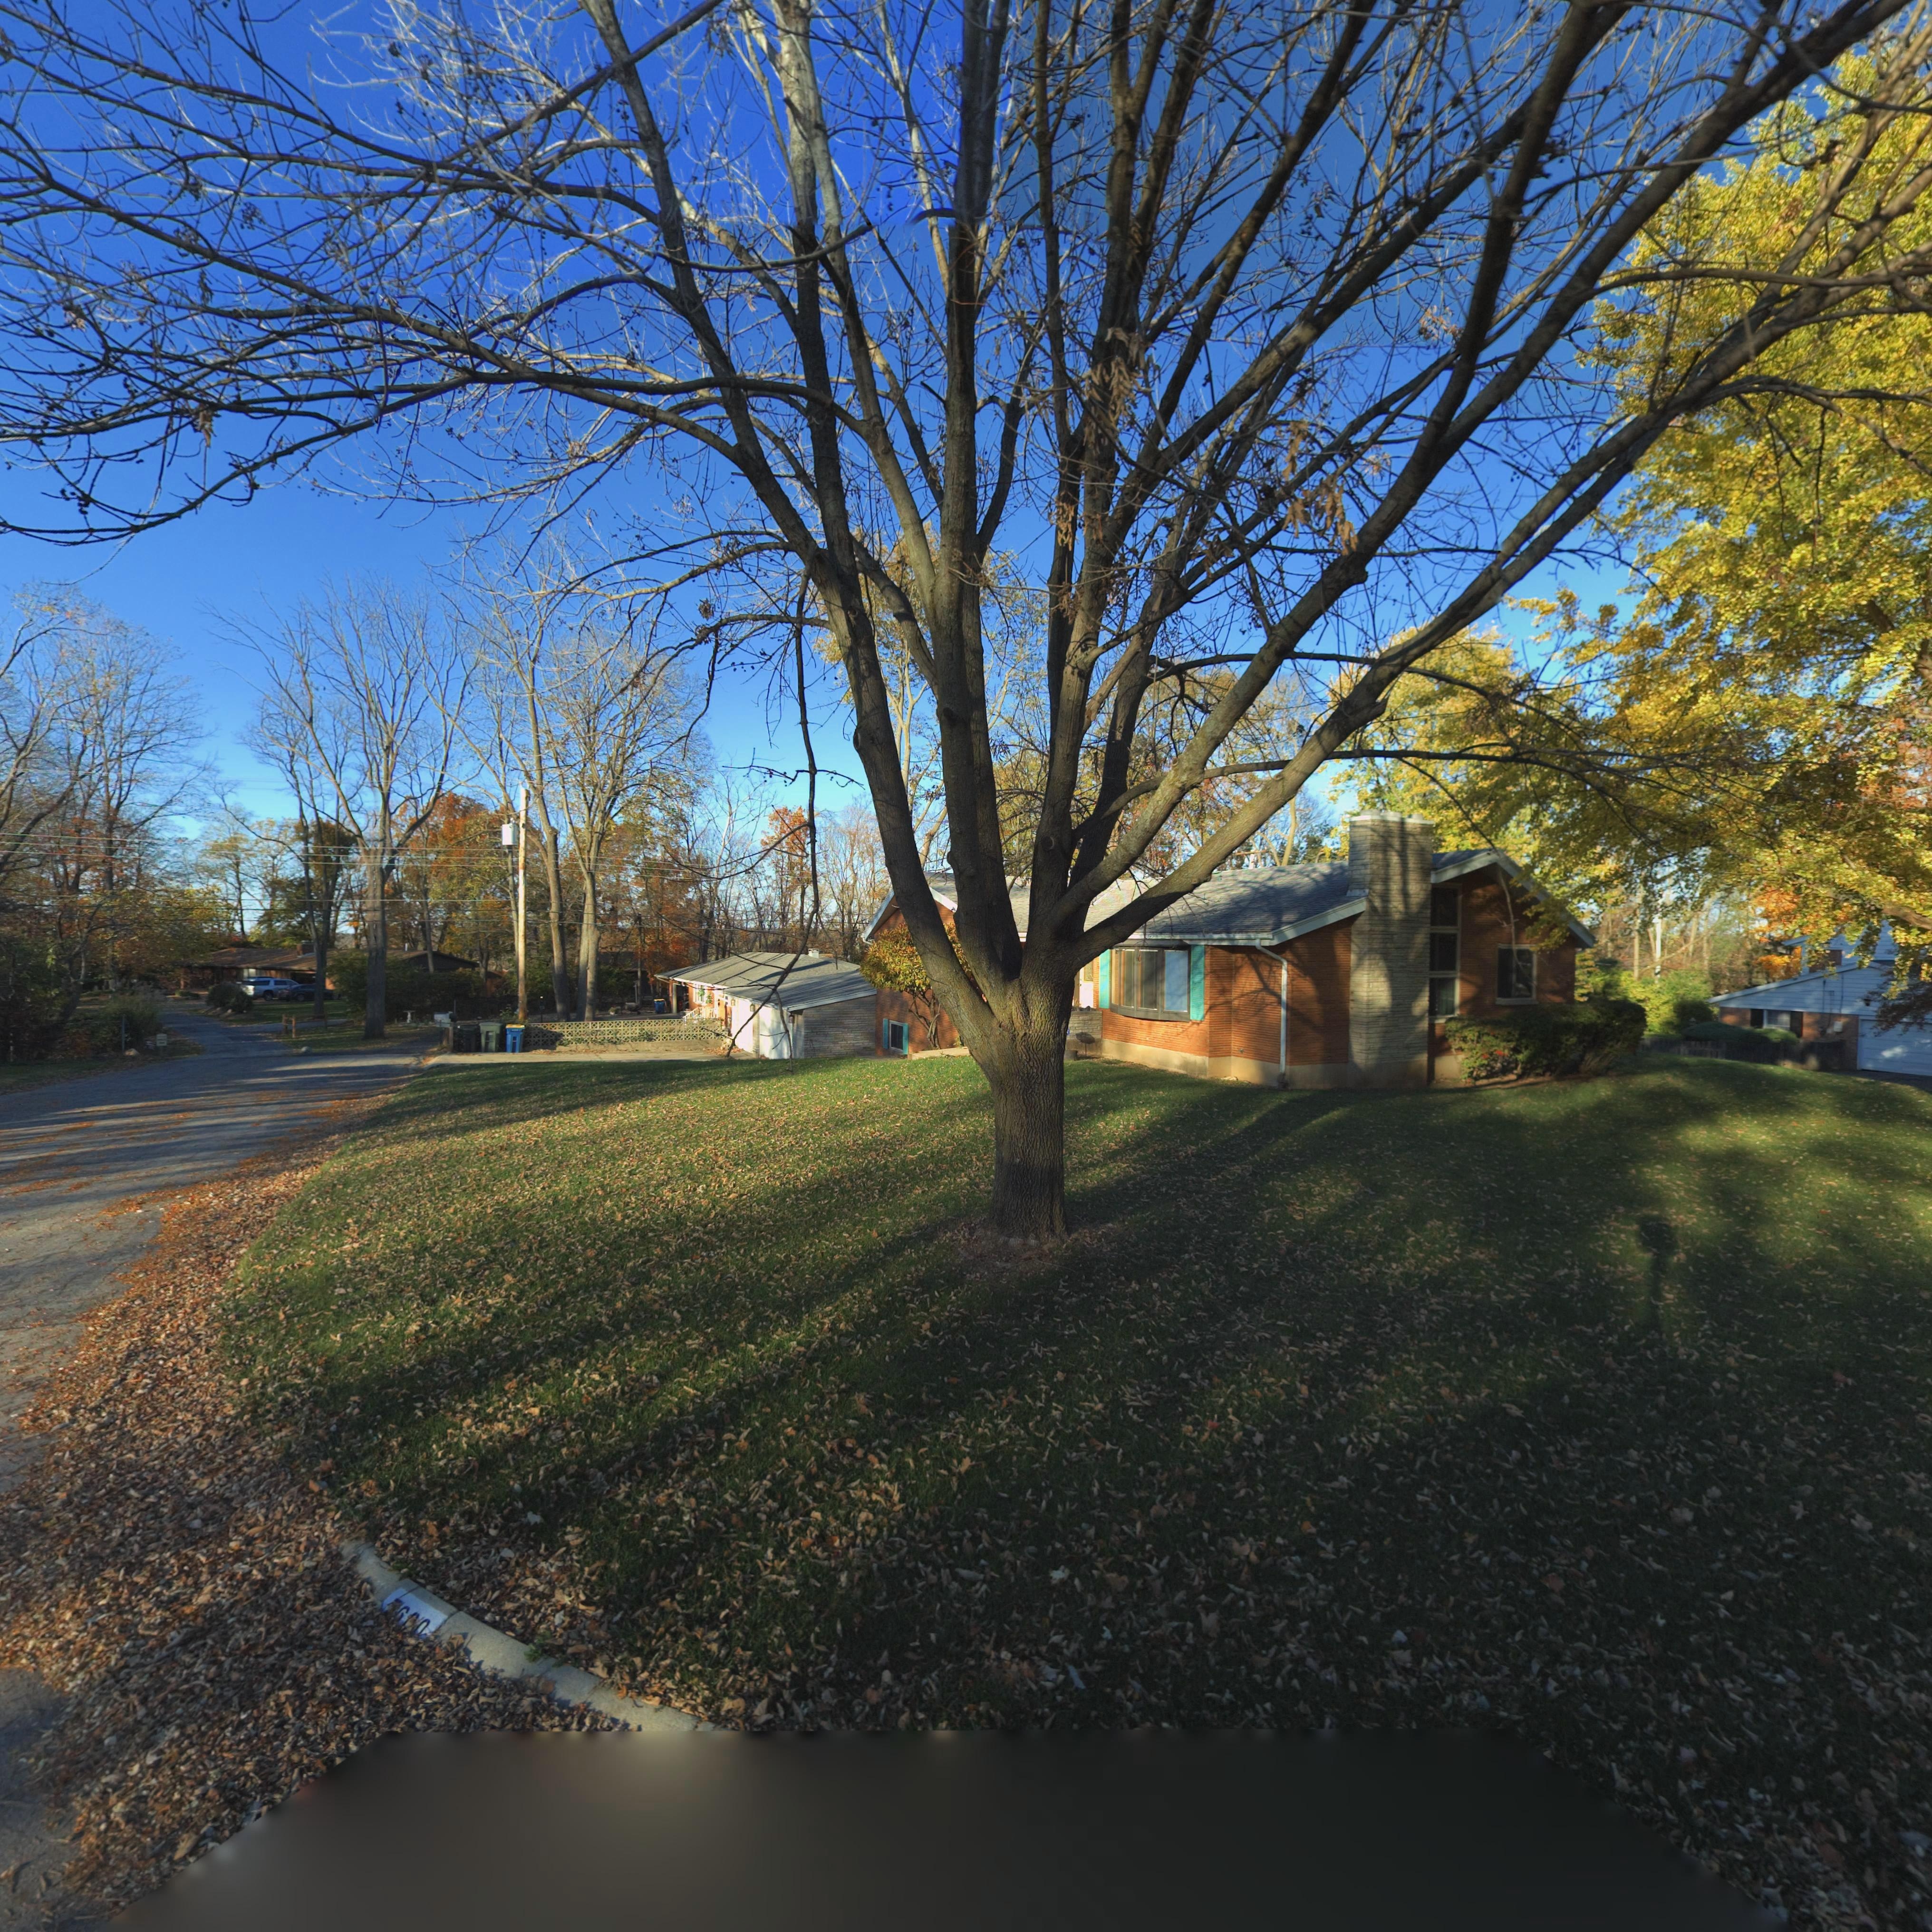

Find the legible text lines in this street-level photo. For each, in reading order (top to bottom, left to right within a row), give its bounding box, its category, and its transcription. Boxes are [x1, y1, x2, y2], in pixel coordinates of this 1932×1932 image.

[380, 1595, 433, 1639] StreetNumber: *600